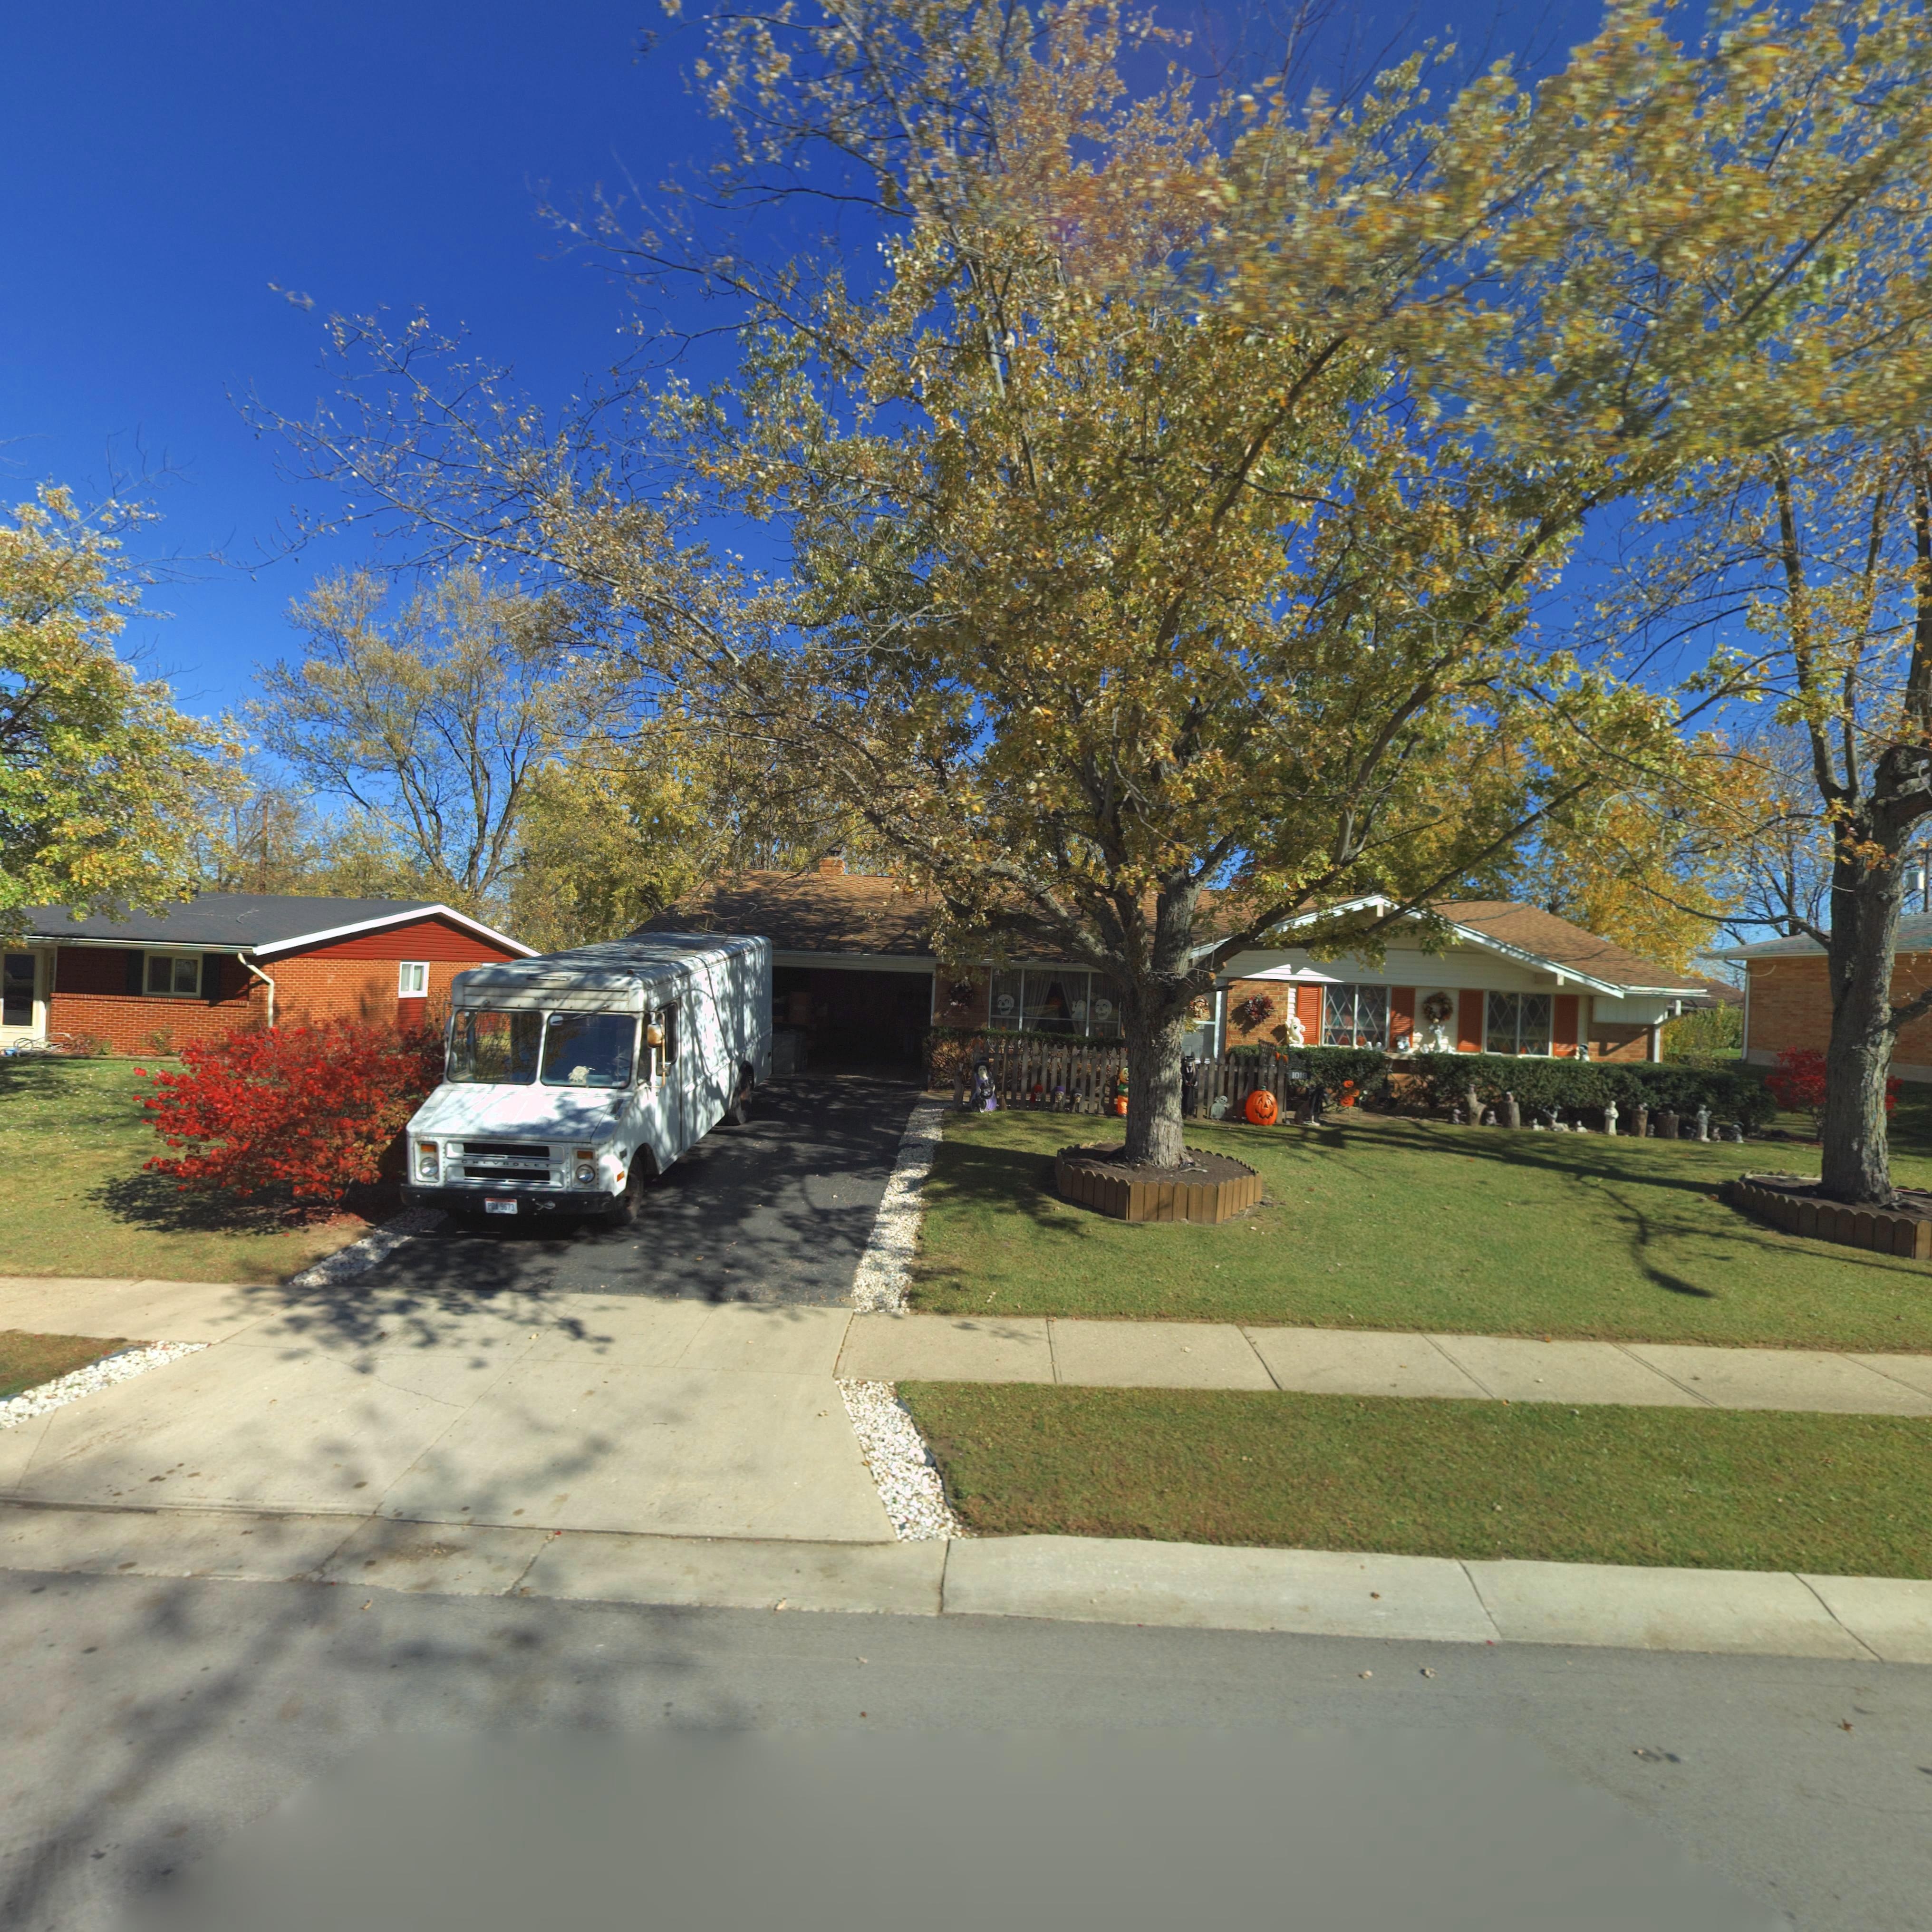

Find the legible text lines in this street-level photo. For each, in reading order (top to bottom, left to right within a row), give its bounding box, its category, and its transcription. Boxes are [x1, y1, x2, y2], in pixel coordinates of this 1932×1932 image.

[1291, 1071, 1308, 1080] StreetNumber: 1018
[460, 1159, 551, 1168] None: CHEVROLET